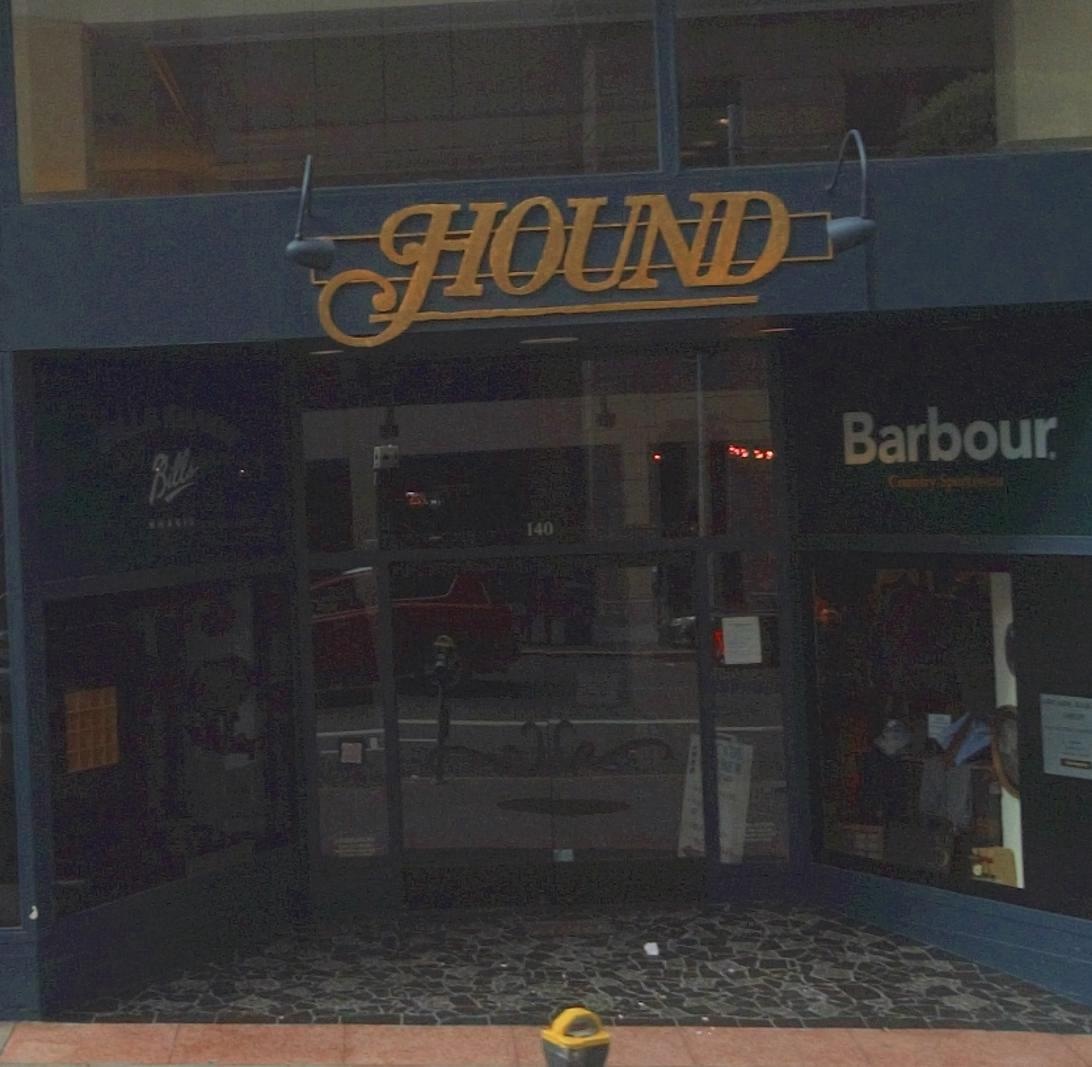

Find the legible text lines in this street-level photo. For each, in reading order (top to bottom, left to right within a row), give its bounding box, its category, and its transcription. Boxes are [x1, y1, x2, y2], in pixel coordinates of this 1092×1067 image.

[396, 186, 795, 303] BusinessName: HOUND
[841, 404, 1059, 467] None: Barbour
[144, 444, 202, 510] None: Bills
[885, 473, 939, 490] None: Country
[526, 520, 554, 537] StreetNumber: 140